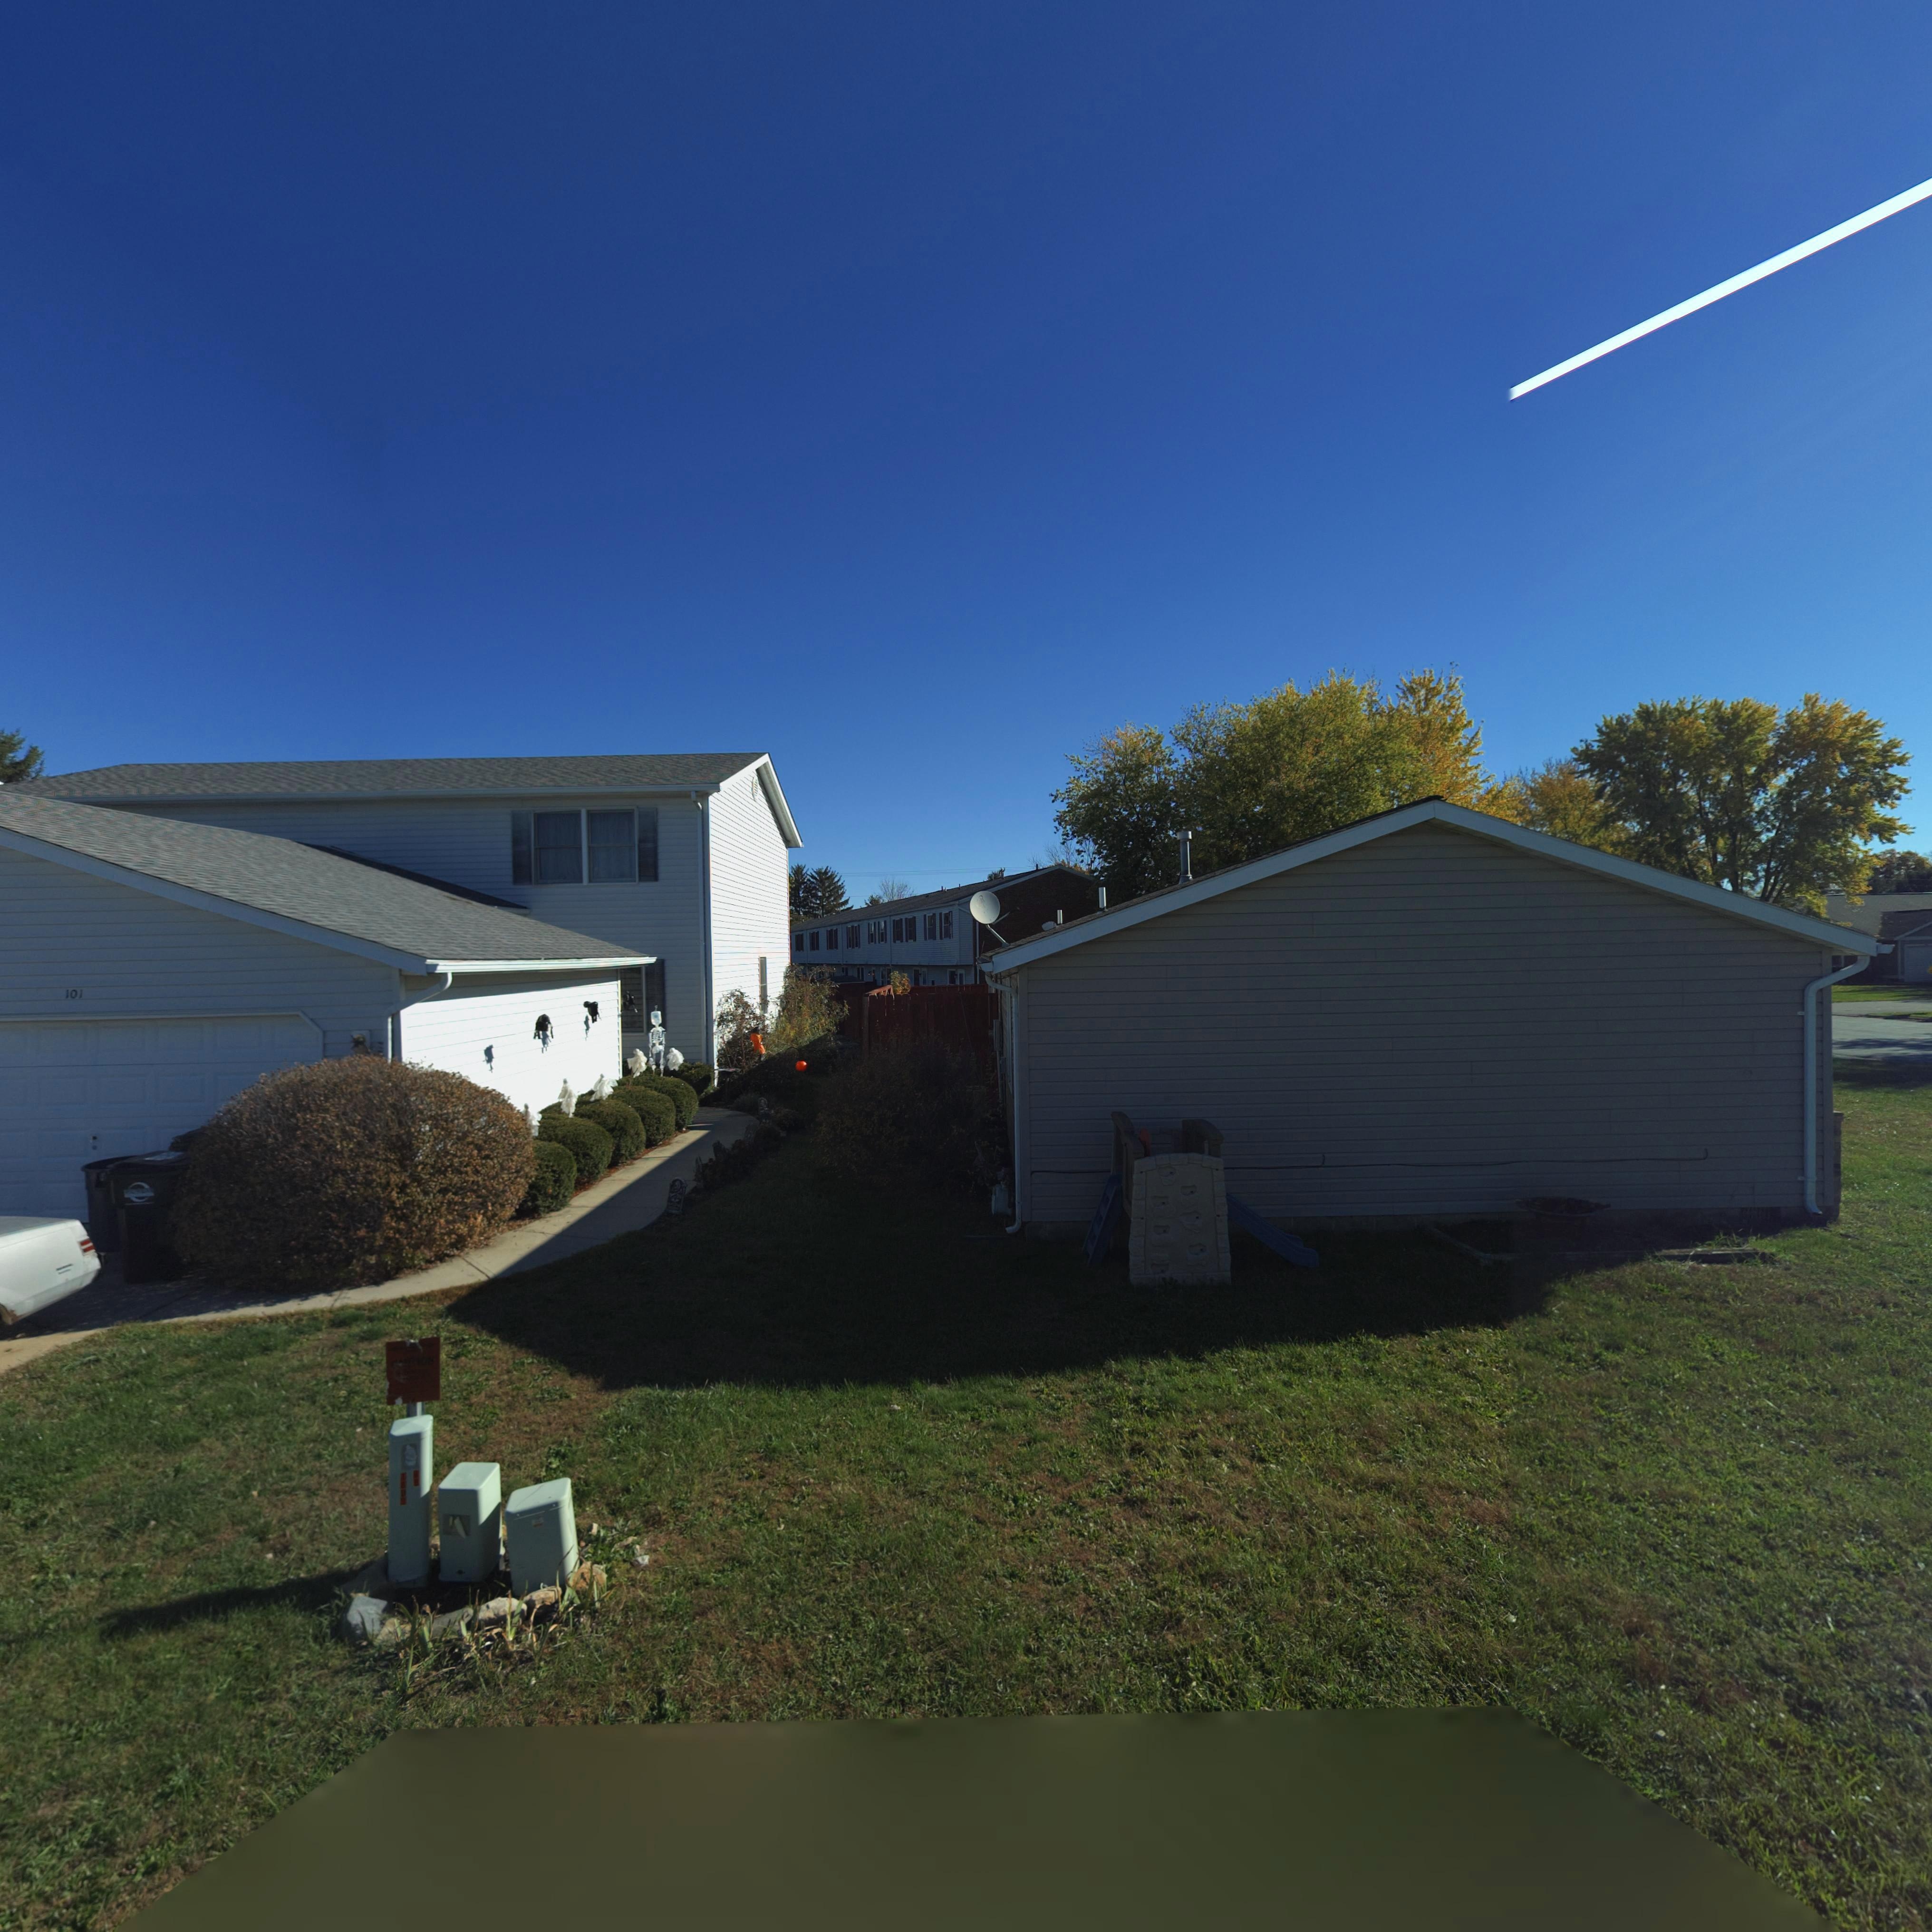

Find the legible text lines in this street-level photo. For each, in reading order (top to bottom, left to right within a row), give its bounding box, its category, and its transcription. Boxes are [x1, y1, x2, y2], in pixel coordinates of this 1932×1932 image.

[64, 988, 84, 998] StreetNumber: 101